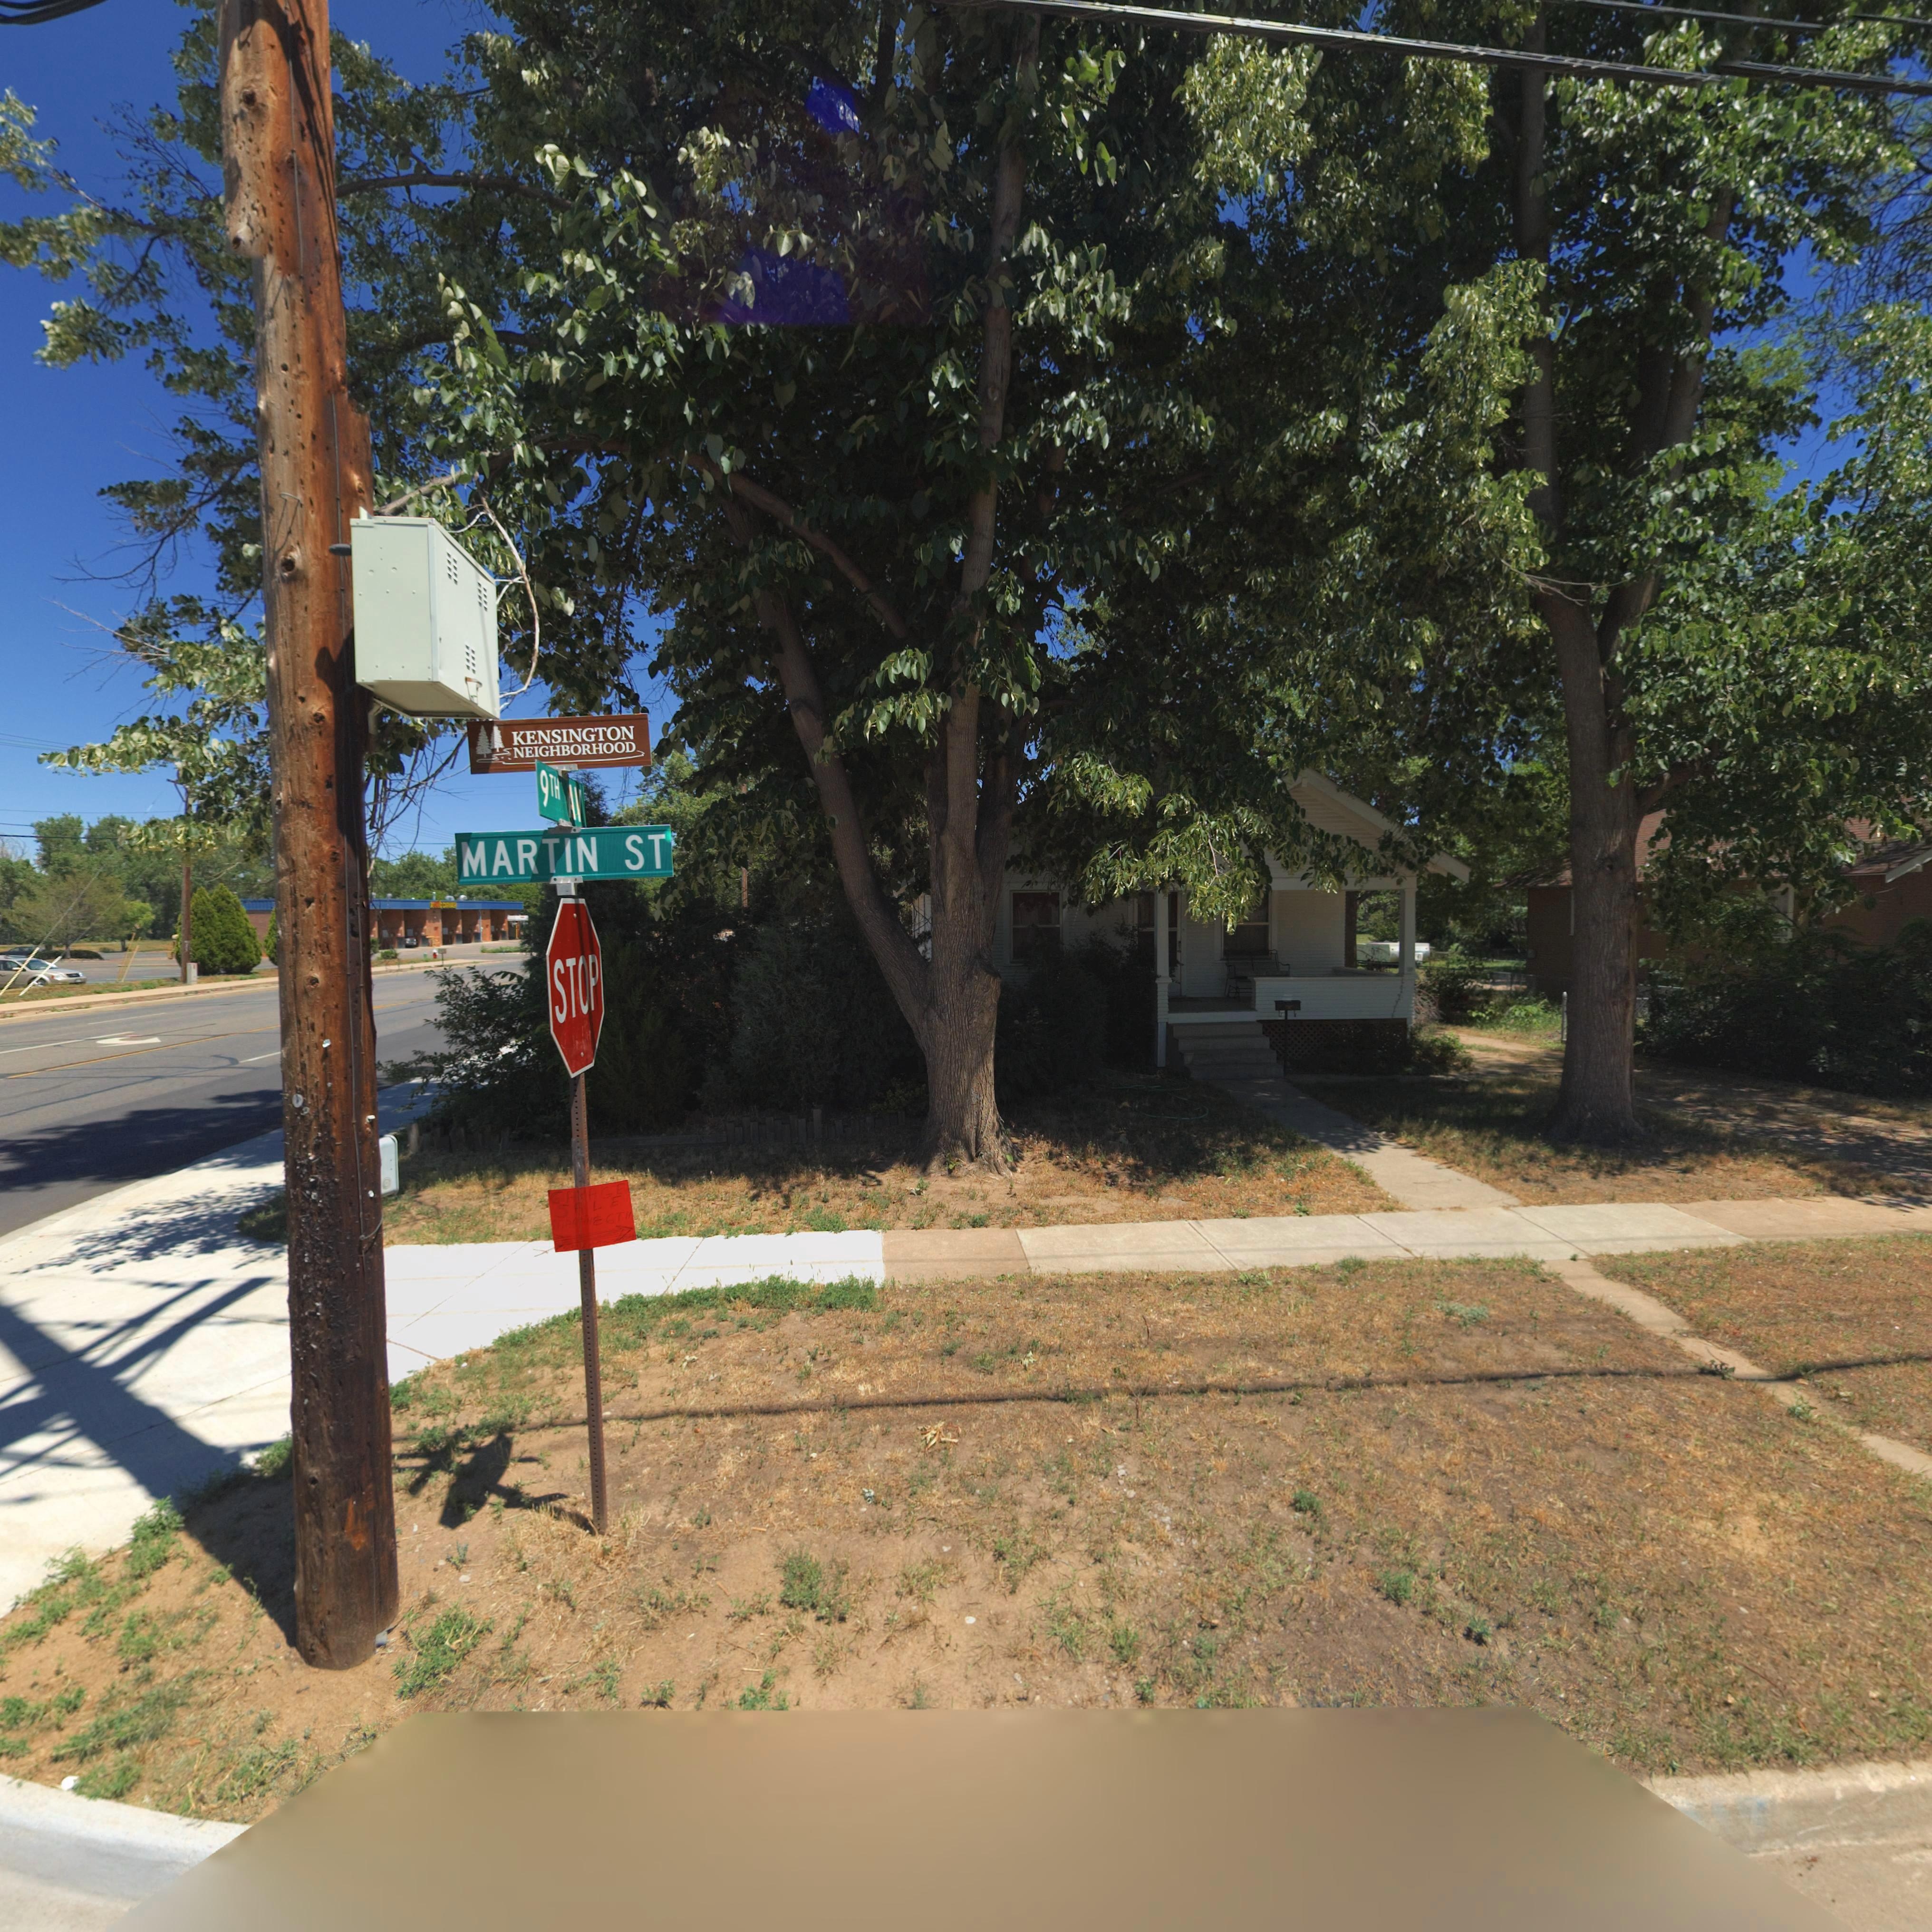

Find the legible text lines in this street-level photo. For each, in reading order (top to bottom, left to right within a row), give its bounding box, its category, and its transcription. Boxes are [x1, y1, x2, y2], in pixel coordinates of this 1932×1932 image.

[539, 769, 581, 823] StreetName: 9TH AV
[460, 833, 666, 877] StreetName: MARTIN ST